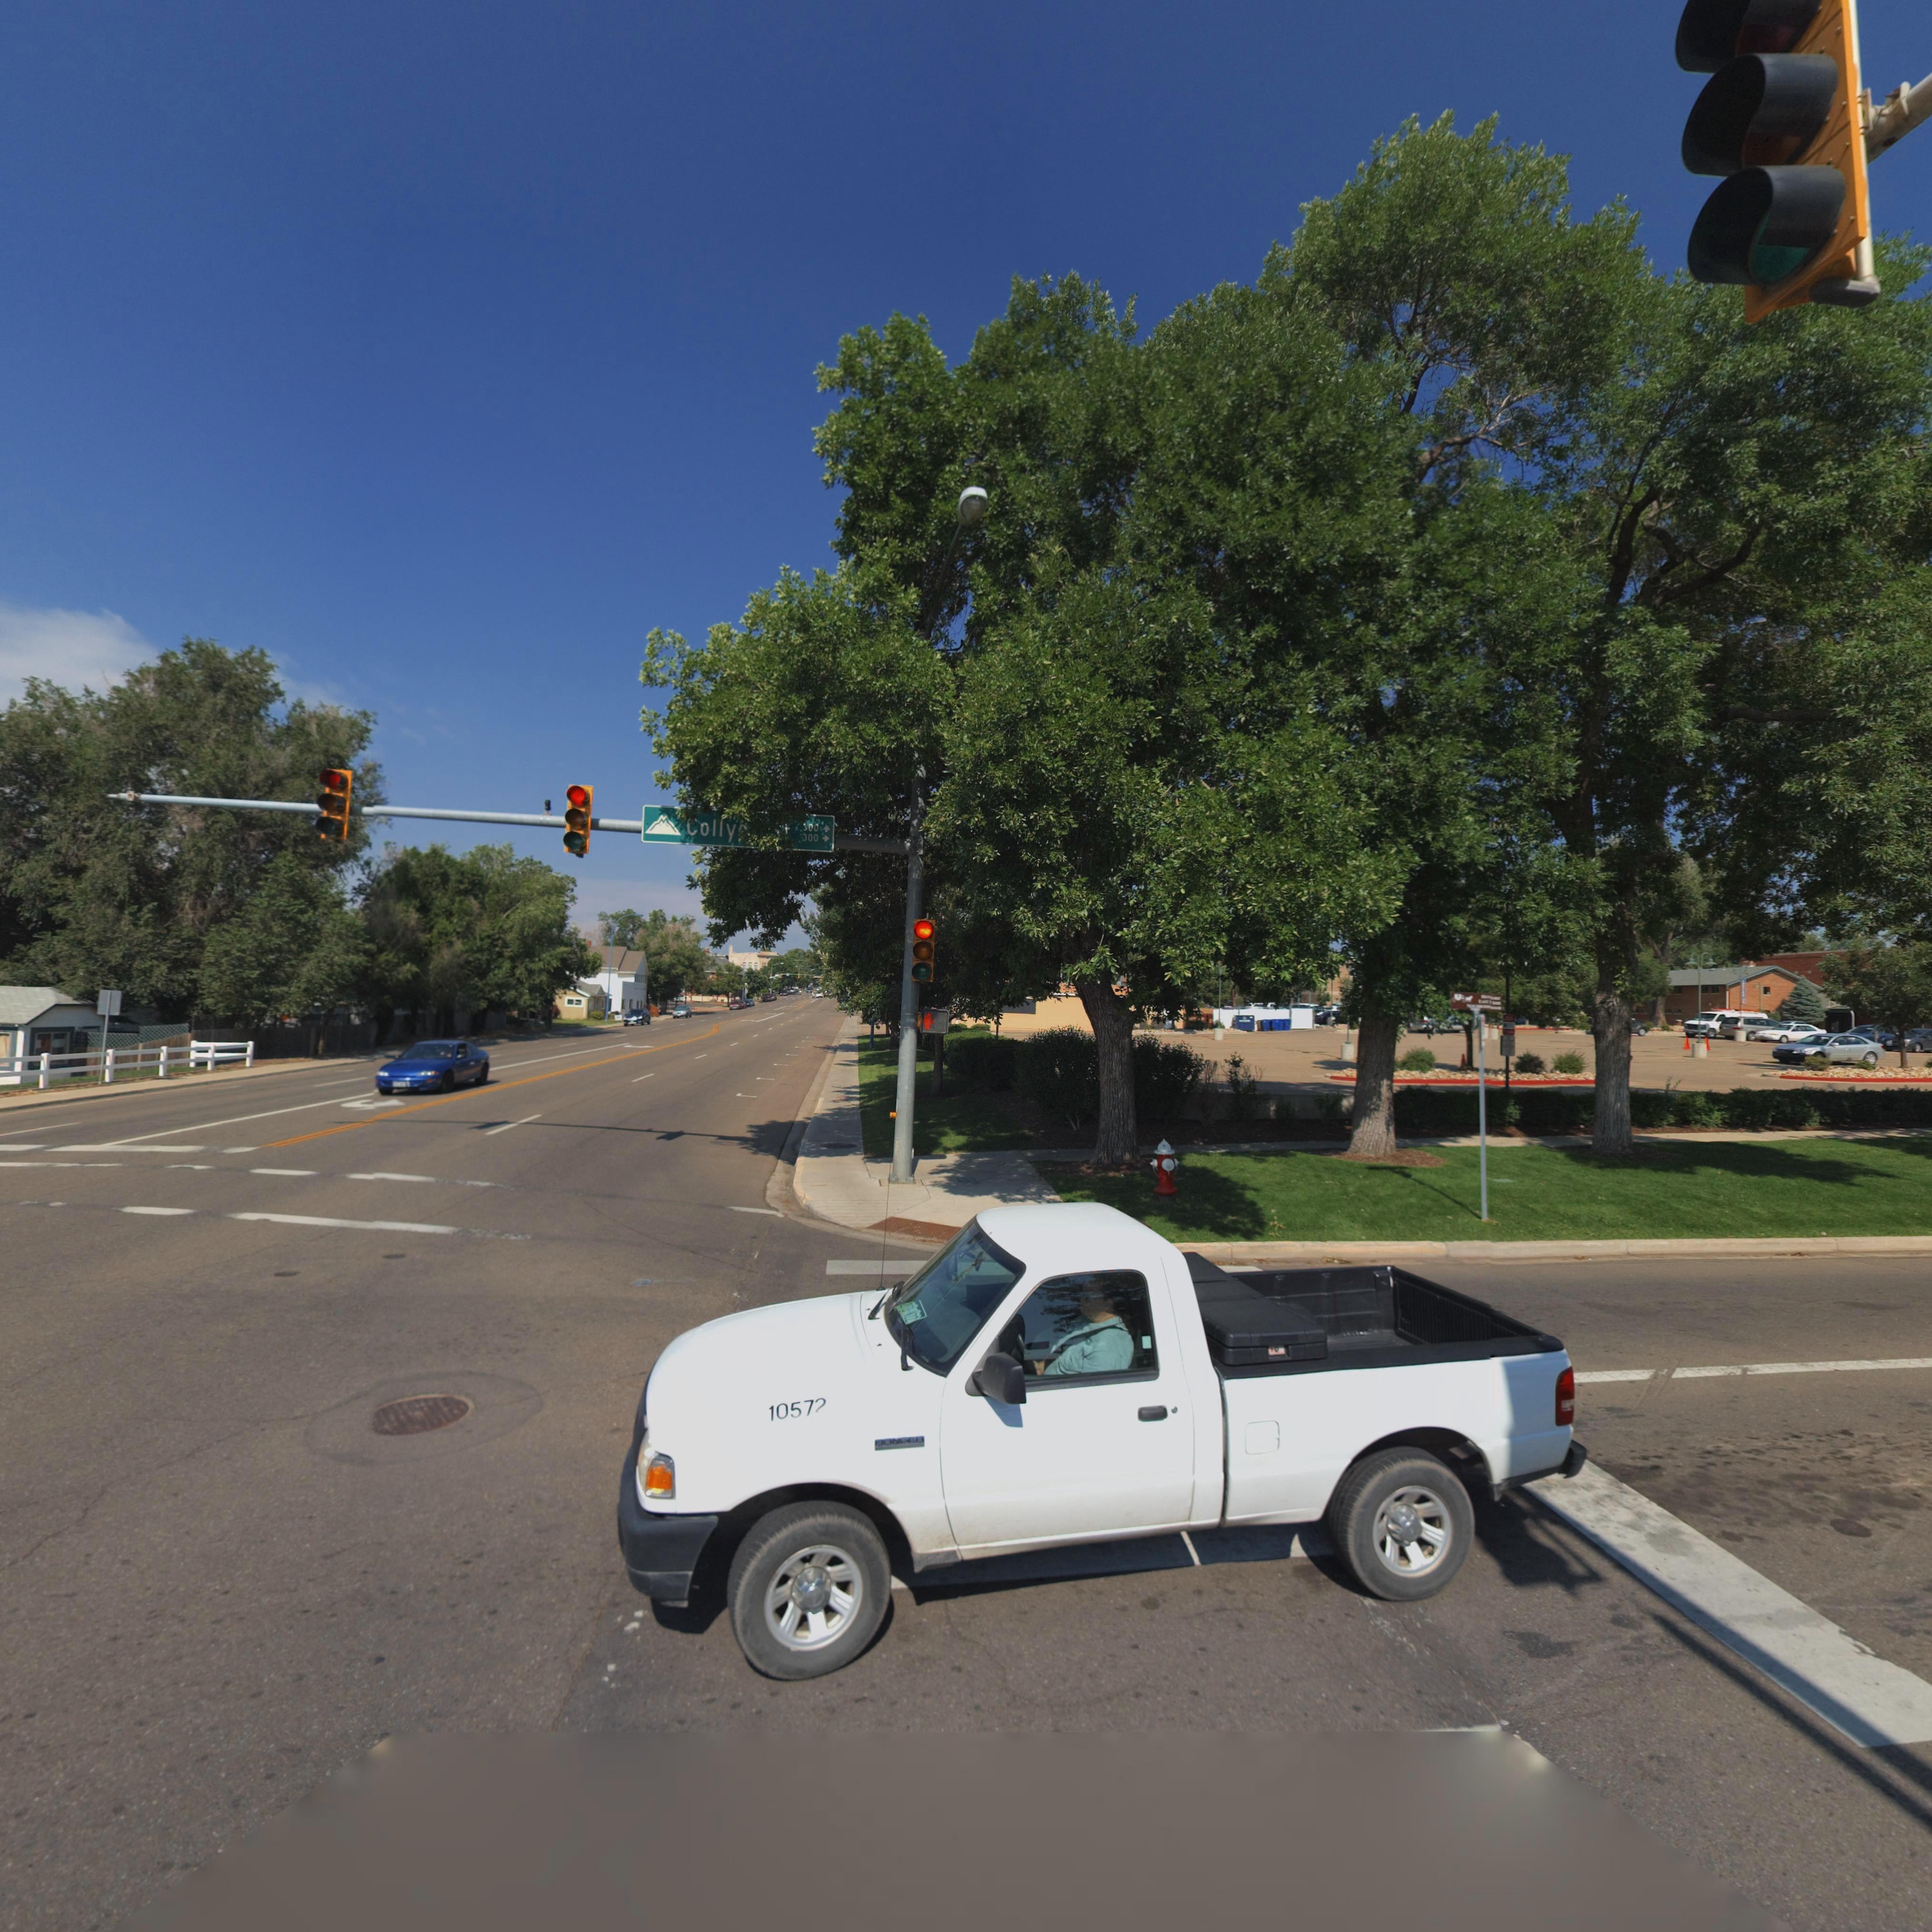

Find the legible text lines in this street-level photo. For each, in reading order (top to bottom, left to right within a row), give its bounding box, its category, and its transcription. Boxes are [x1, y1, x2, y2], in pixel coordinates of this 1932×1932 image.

[685, 816, 792, 843] StreetName: Colly** **
[802, 822, 819, 832] StreetNumberRange: 300
[802, 833, 830, 842] StreetNumberRange: 300->